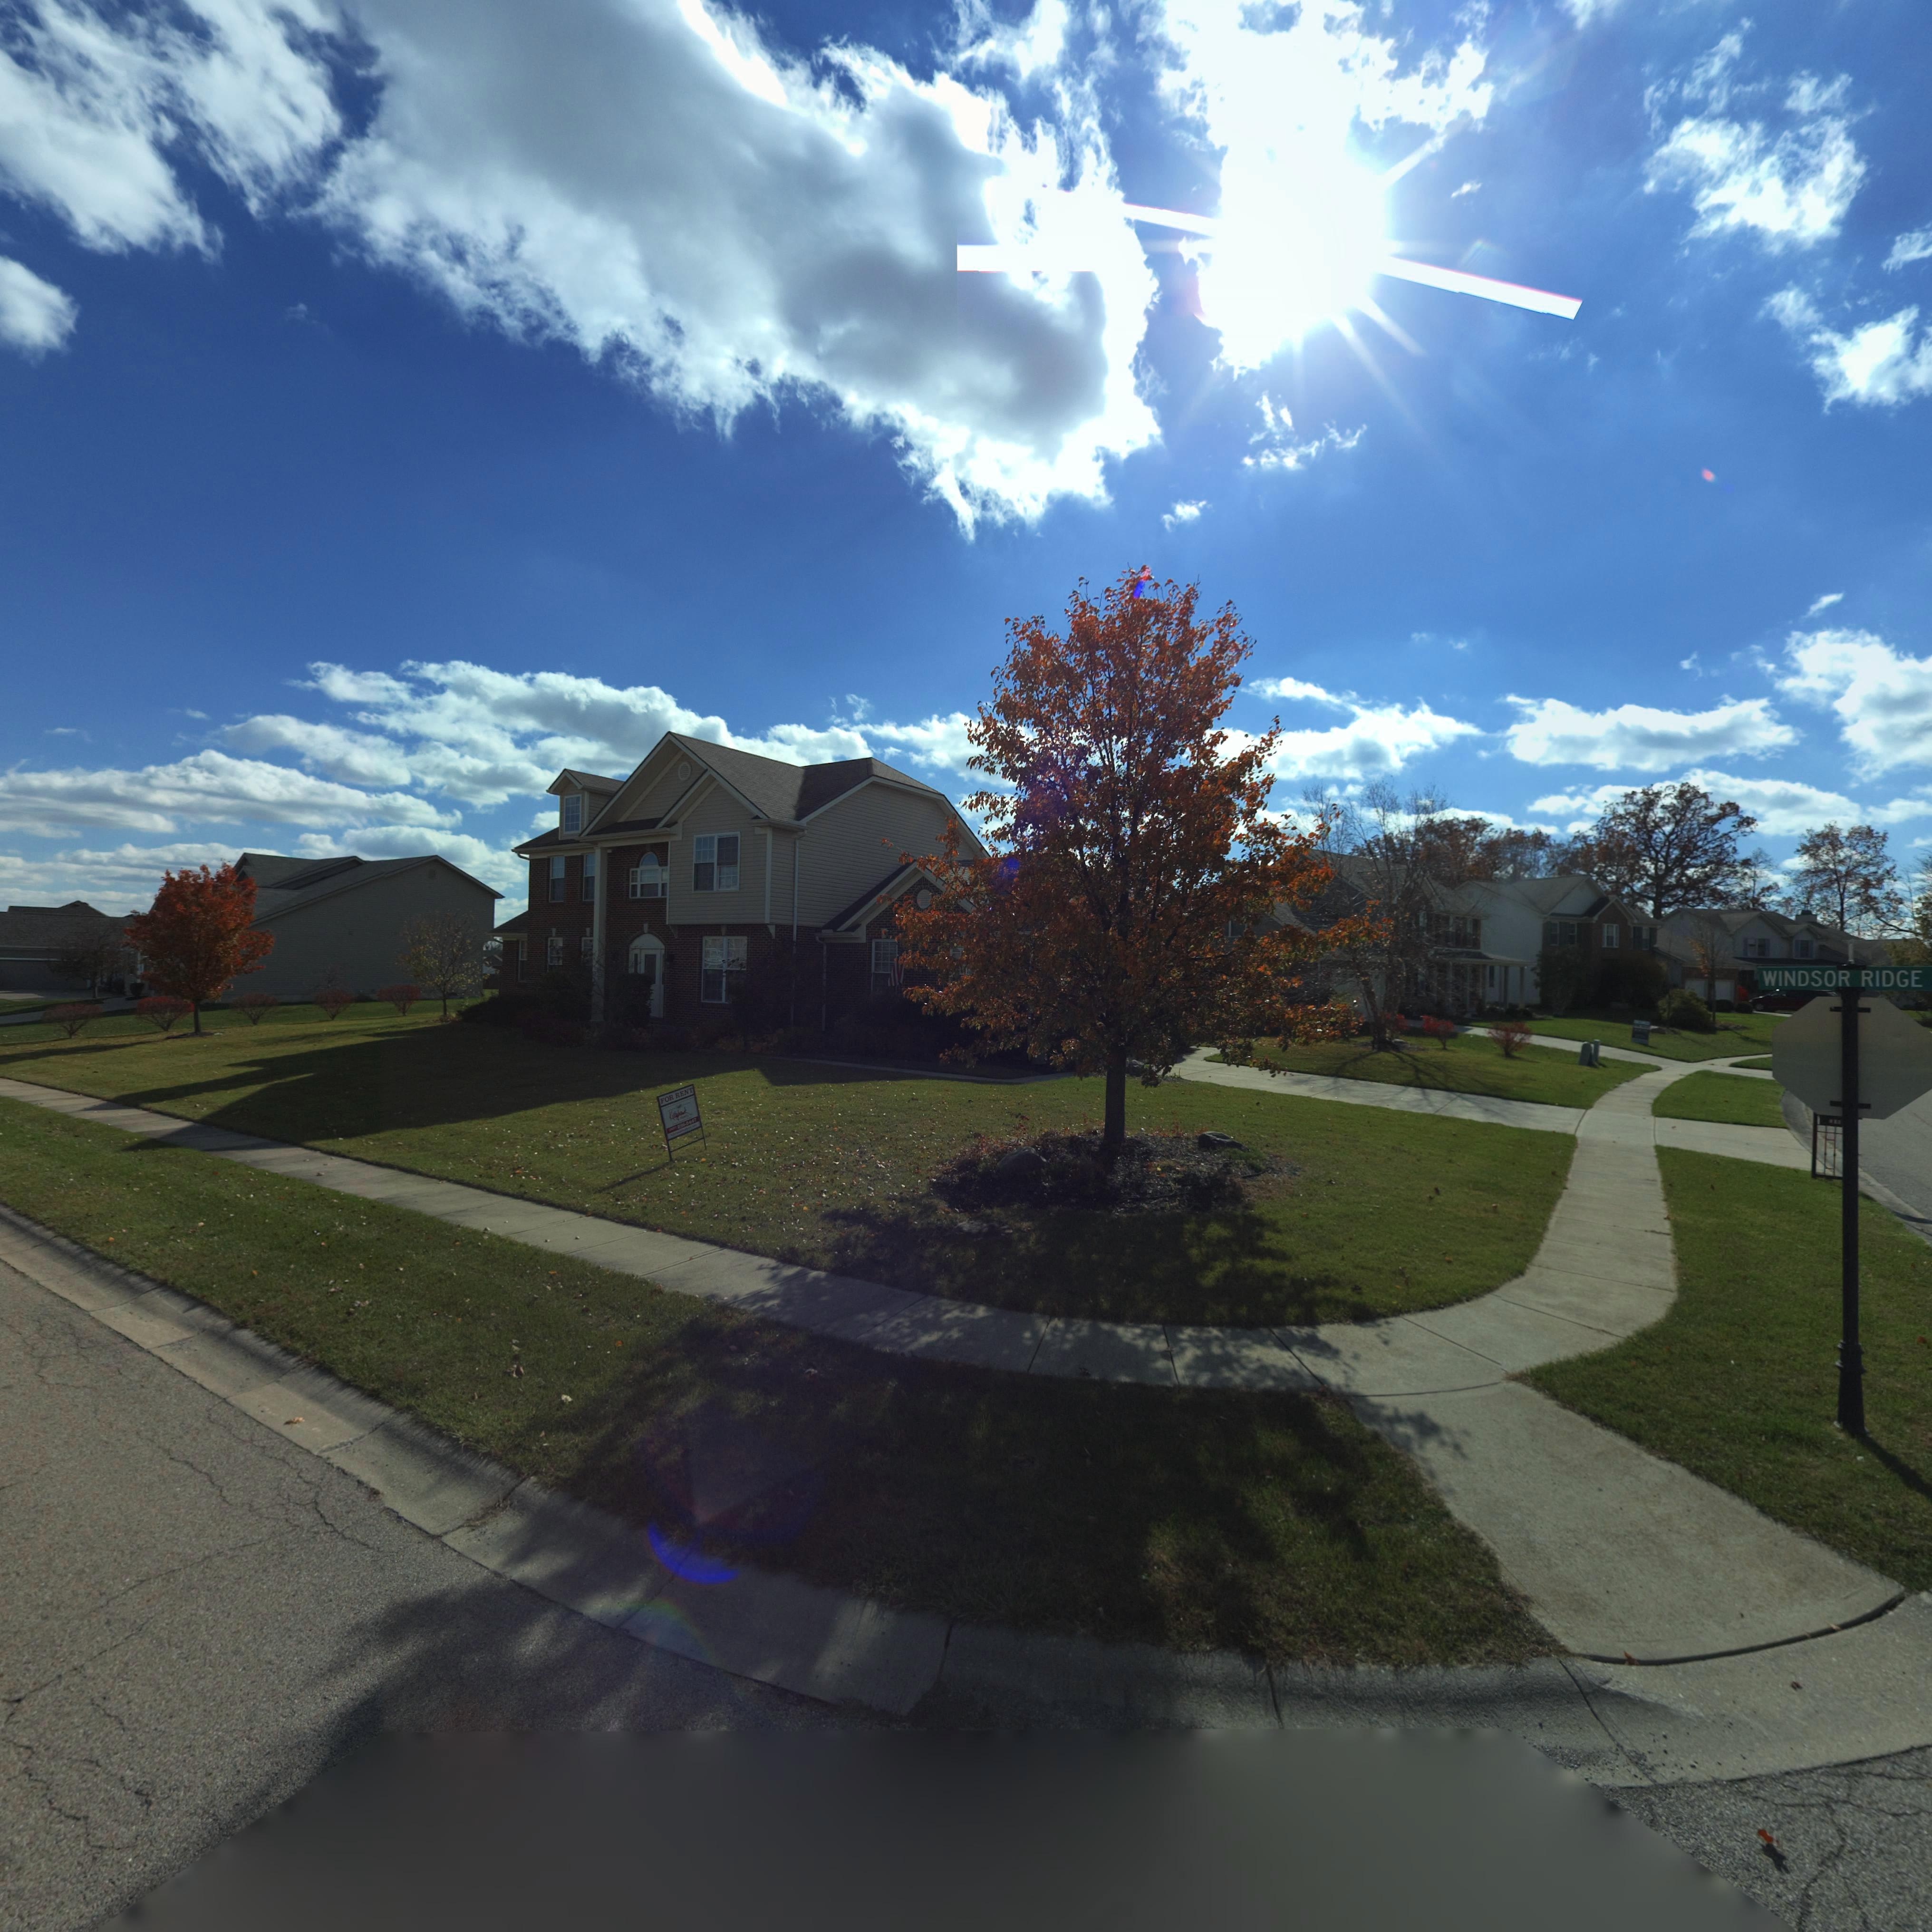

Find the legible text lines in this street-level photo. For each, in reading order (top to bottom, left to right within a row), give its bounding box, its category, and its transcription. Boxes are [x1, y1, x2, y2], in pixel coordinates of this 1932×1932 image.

[1761, 969, 1924, 989] StreetName: WINDSOR RIDGE